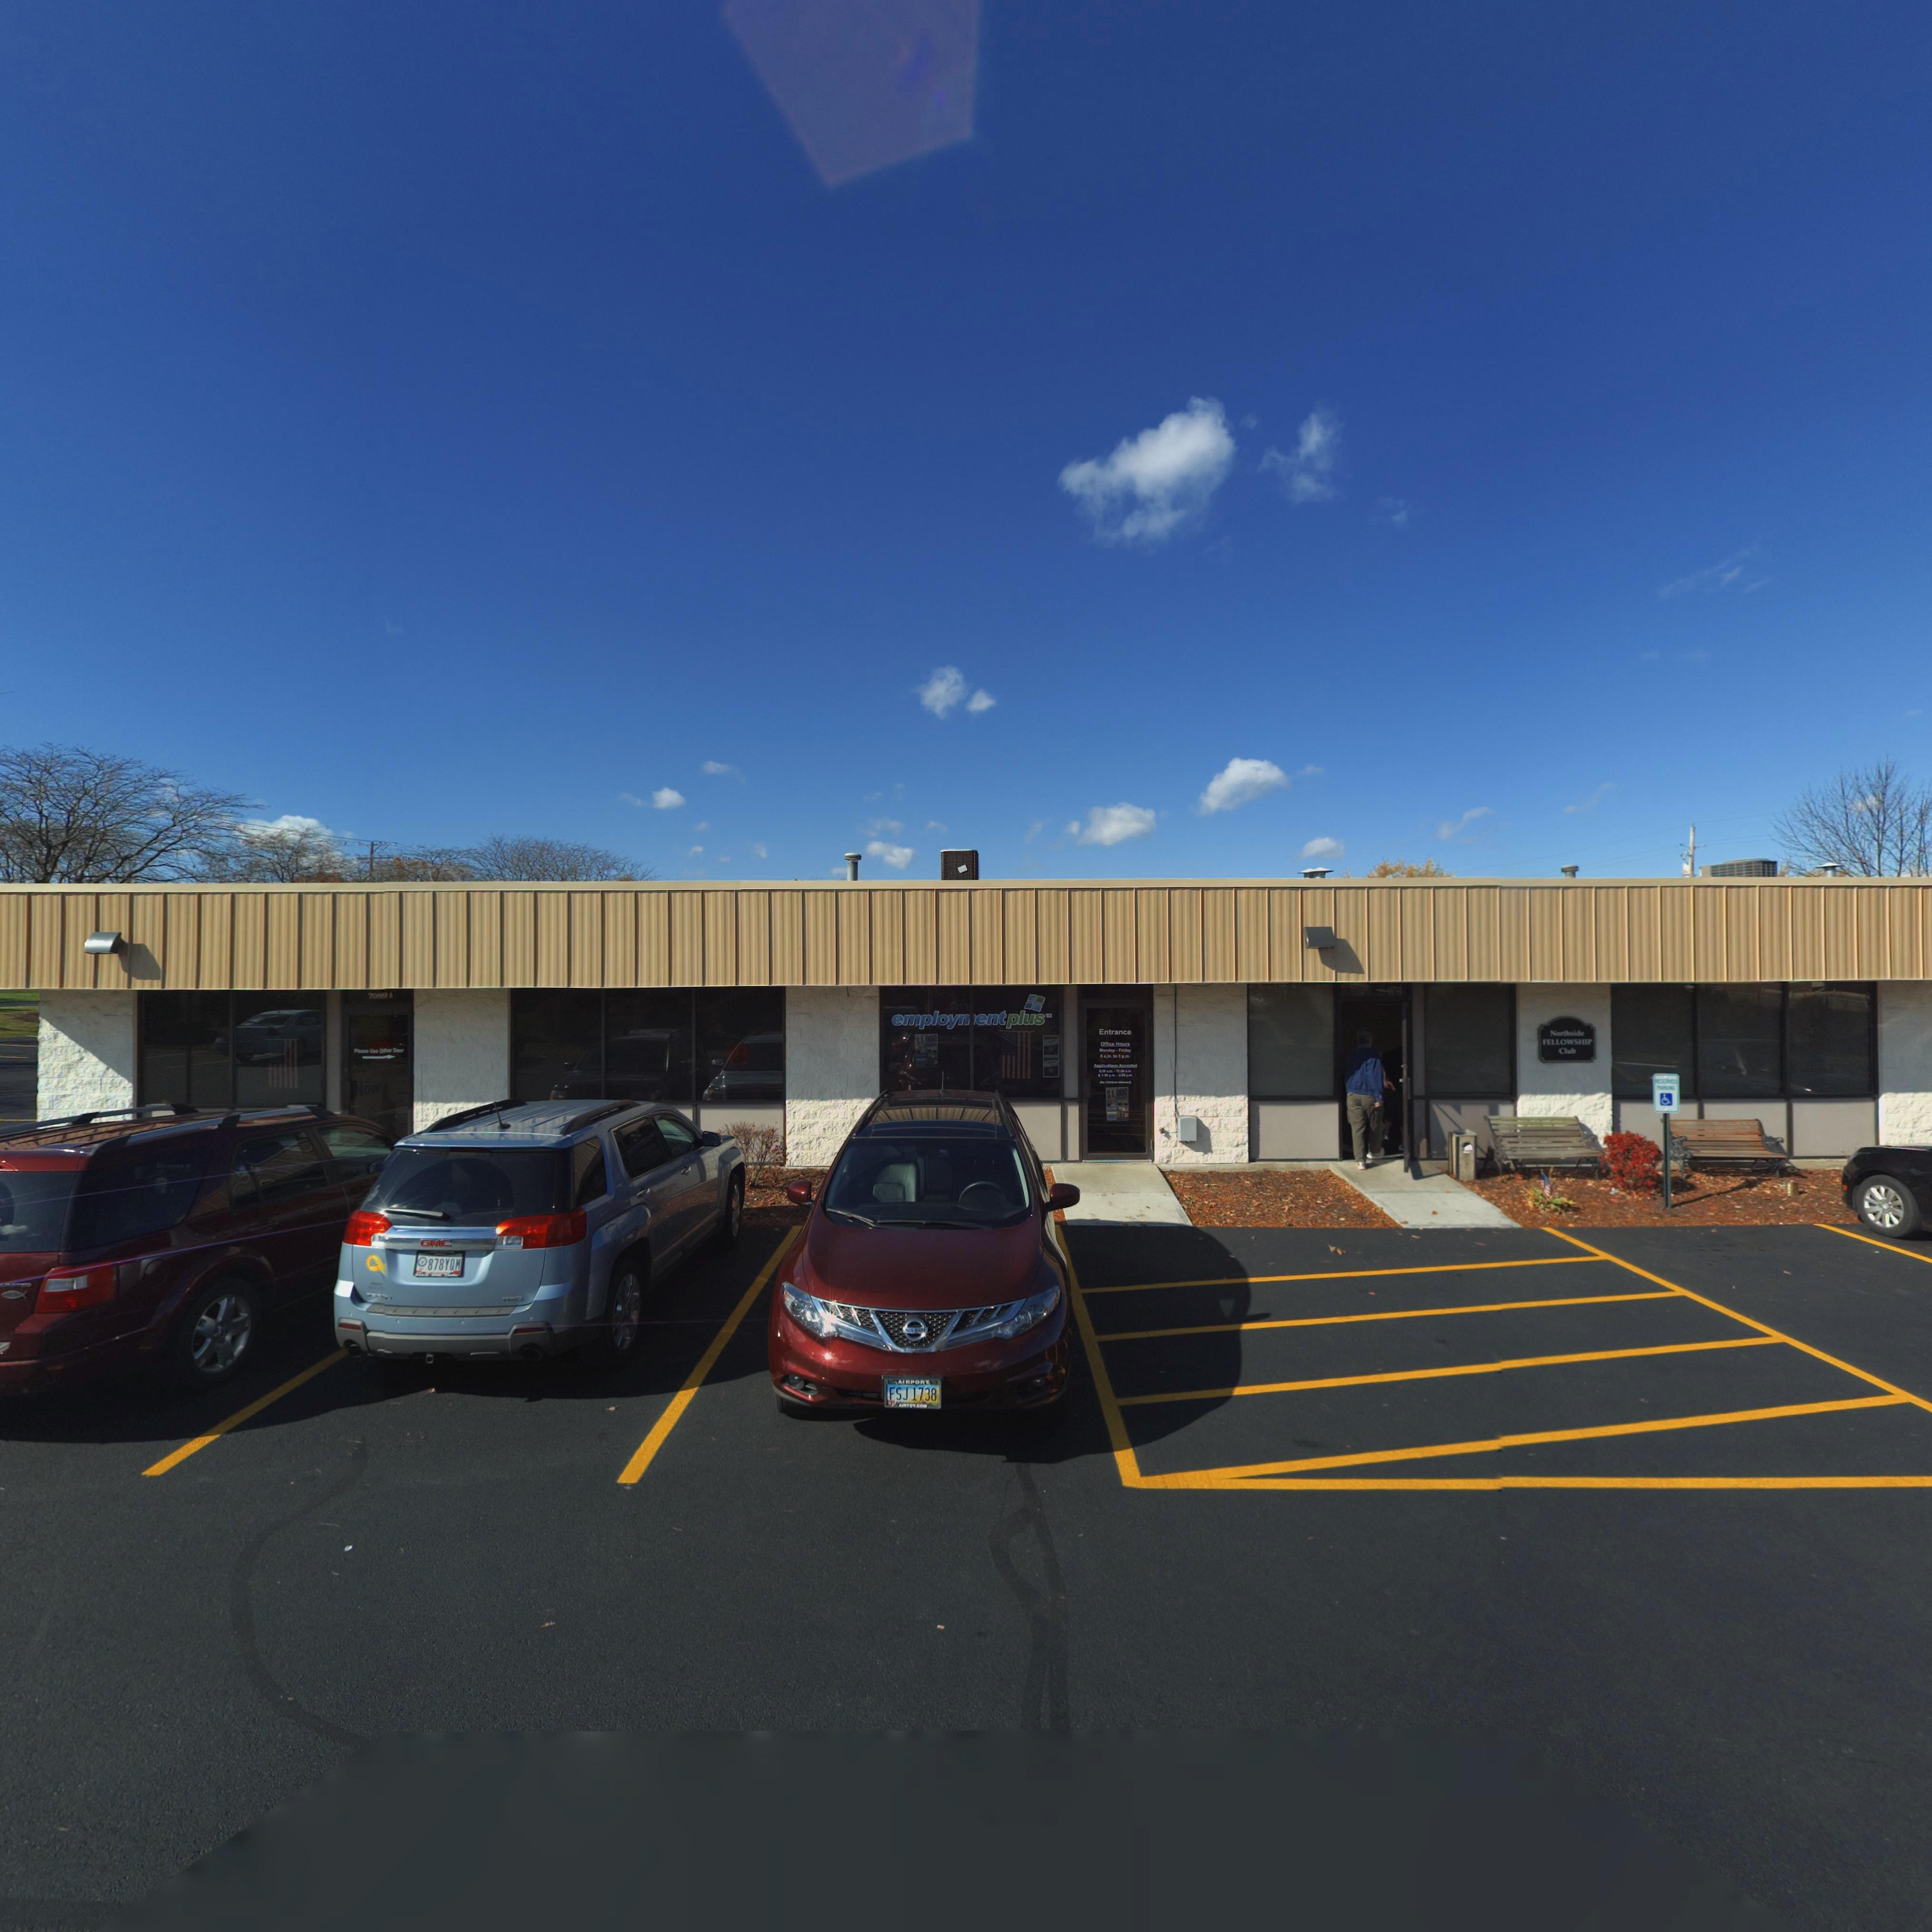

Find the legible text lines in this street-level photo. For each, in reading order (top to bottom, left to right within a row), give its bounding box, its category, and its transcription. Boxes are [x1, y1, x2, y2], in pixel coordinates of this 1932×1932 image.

[367, 991, 395, 1001] StreetNumber: 7089 A